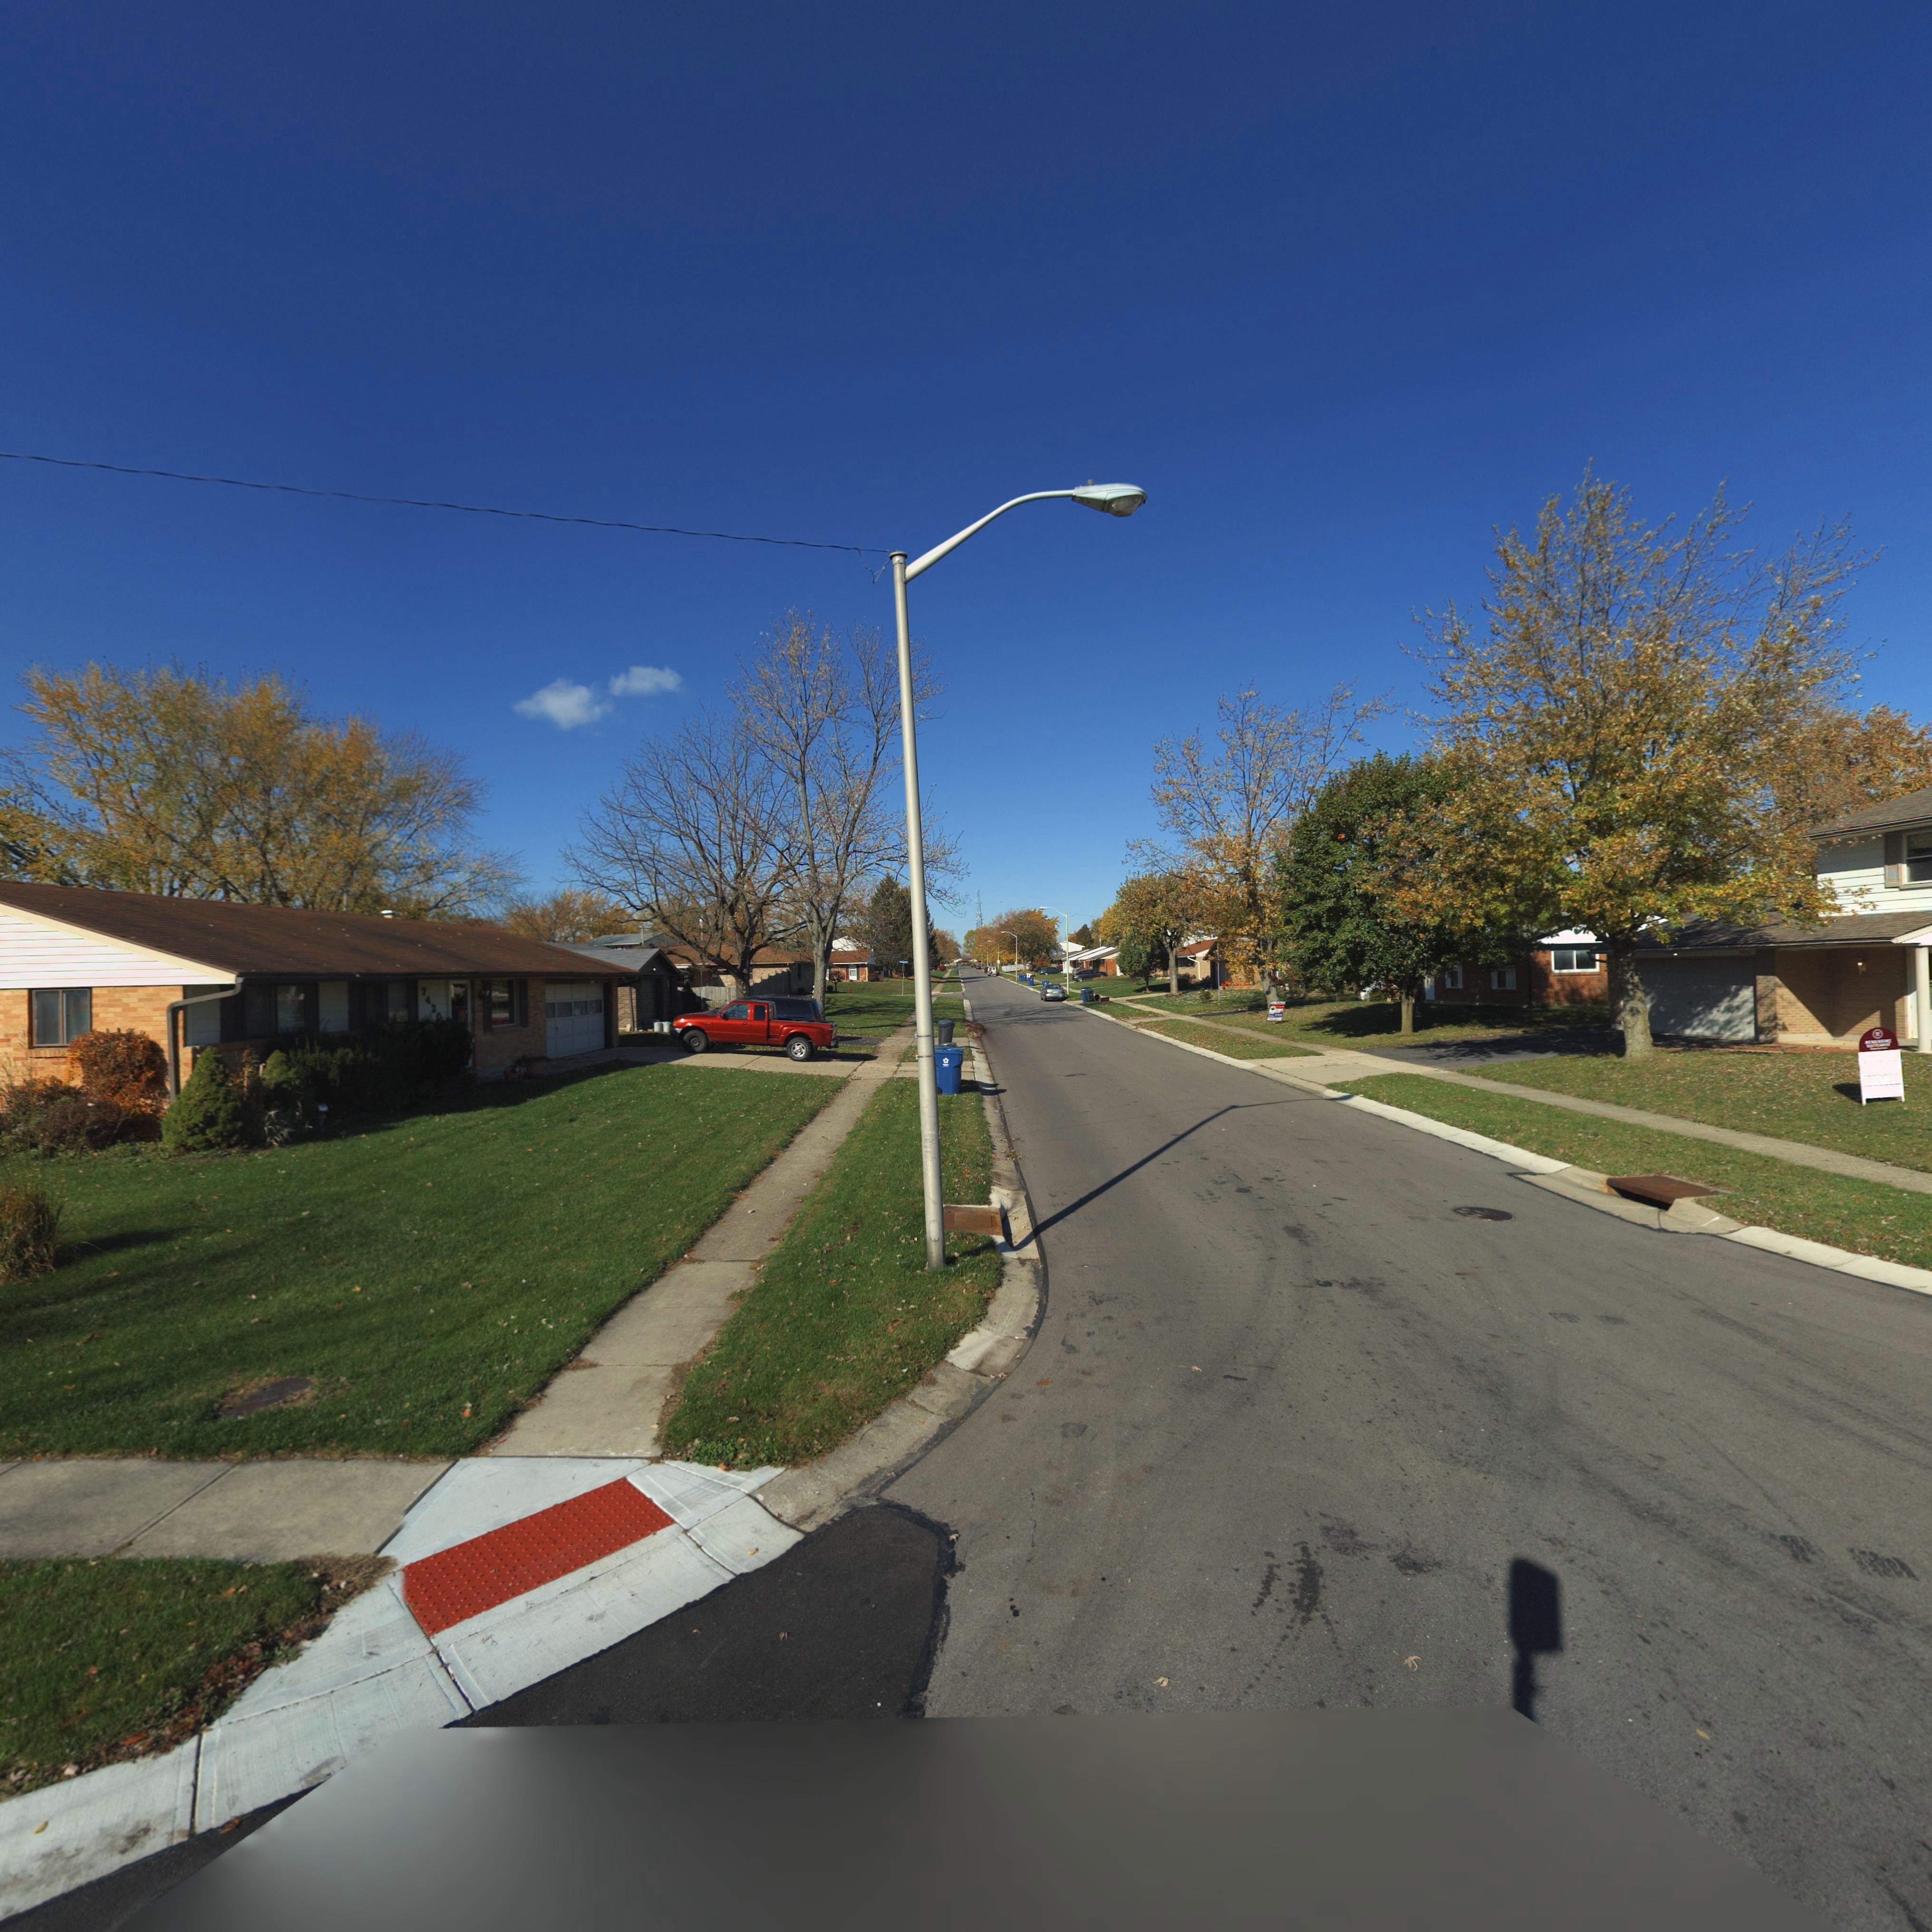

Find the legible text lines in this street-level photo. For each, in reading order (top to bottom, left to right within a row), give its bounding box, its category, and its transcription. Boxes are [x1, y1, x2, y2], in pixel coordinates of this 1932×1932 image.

[420, 986, 443, 1022] StreetNumber: 7430